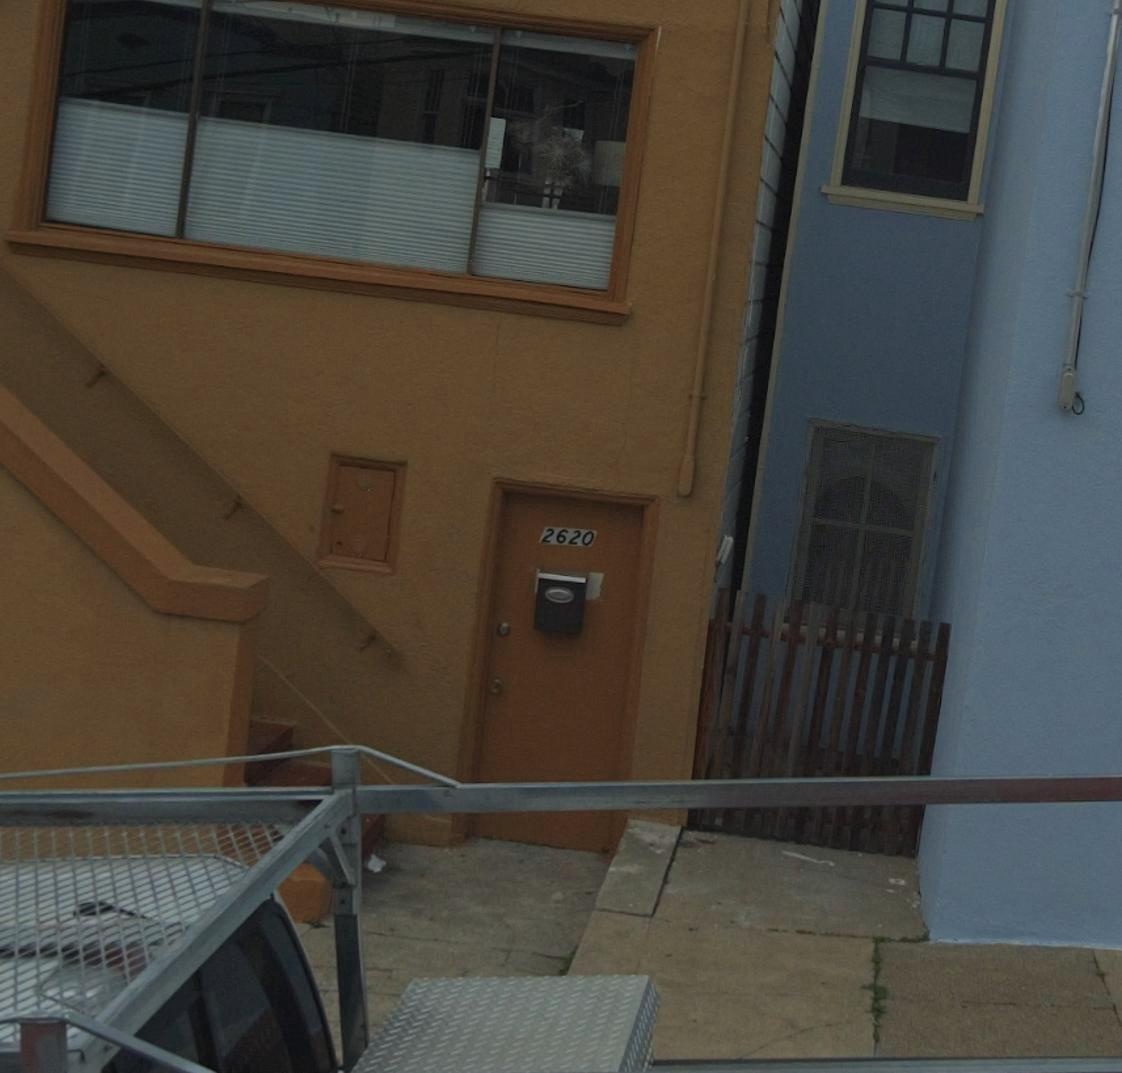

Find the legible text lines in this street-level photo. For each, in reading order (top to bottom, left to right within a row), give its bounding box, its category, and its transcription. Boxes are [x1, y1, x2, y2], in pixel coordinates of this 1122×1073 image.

[538, 527, 599, 546] StreetNumber: 2620